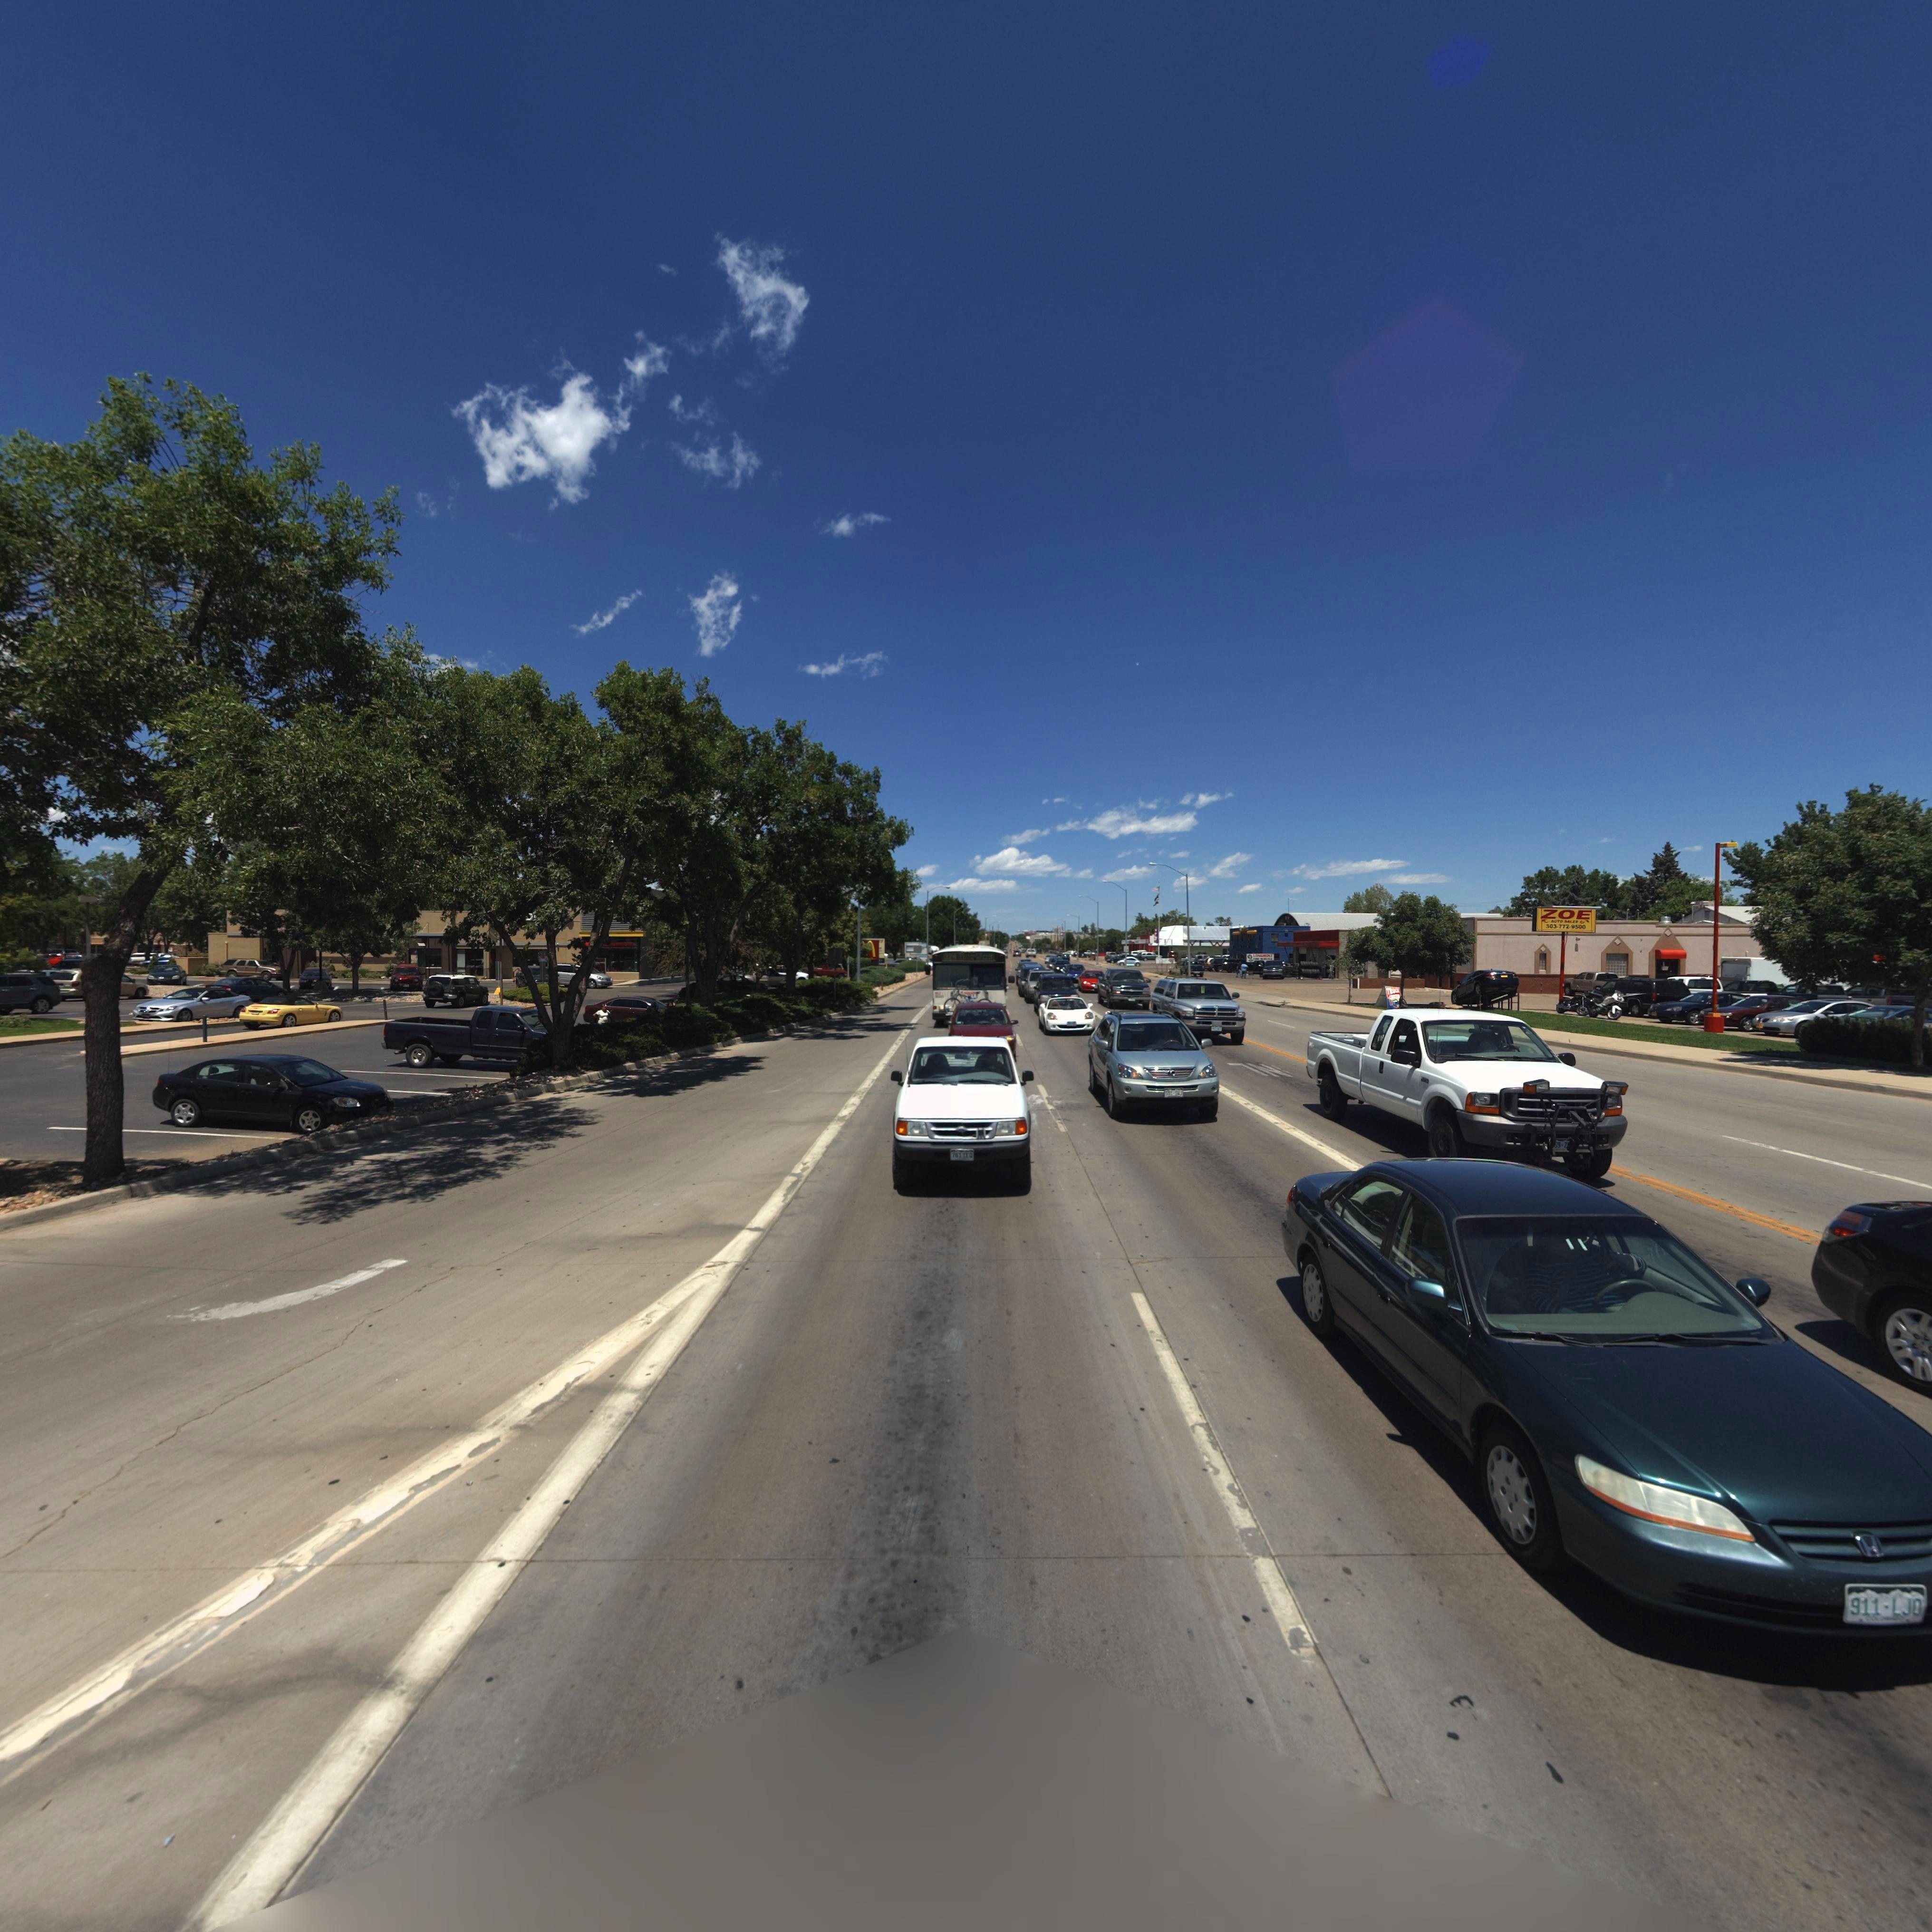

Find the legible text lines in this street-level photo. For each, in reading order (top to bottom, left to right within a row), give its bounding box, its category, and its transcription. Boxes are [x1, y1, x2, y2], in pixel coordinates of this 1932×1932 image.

[1540, 909, 1592, 919] BusinessName: ZOE
[1550, 919, 1578, 923] BusinessName: AUTO SALES
[1253, 954, 1273, 957] BusinessName: L***MONT